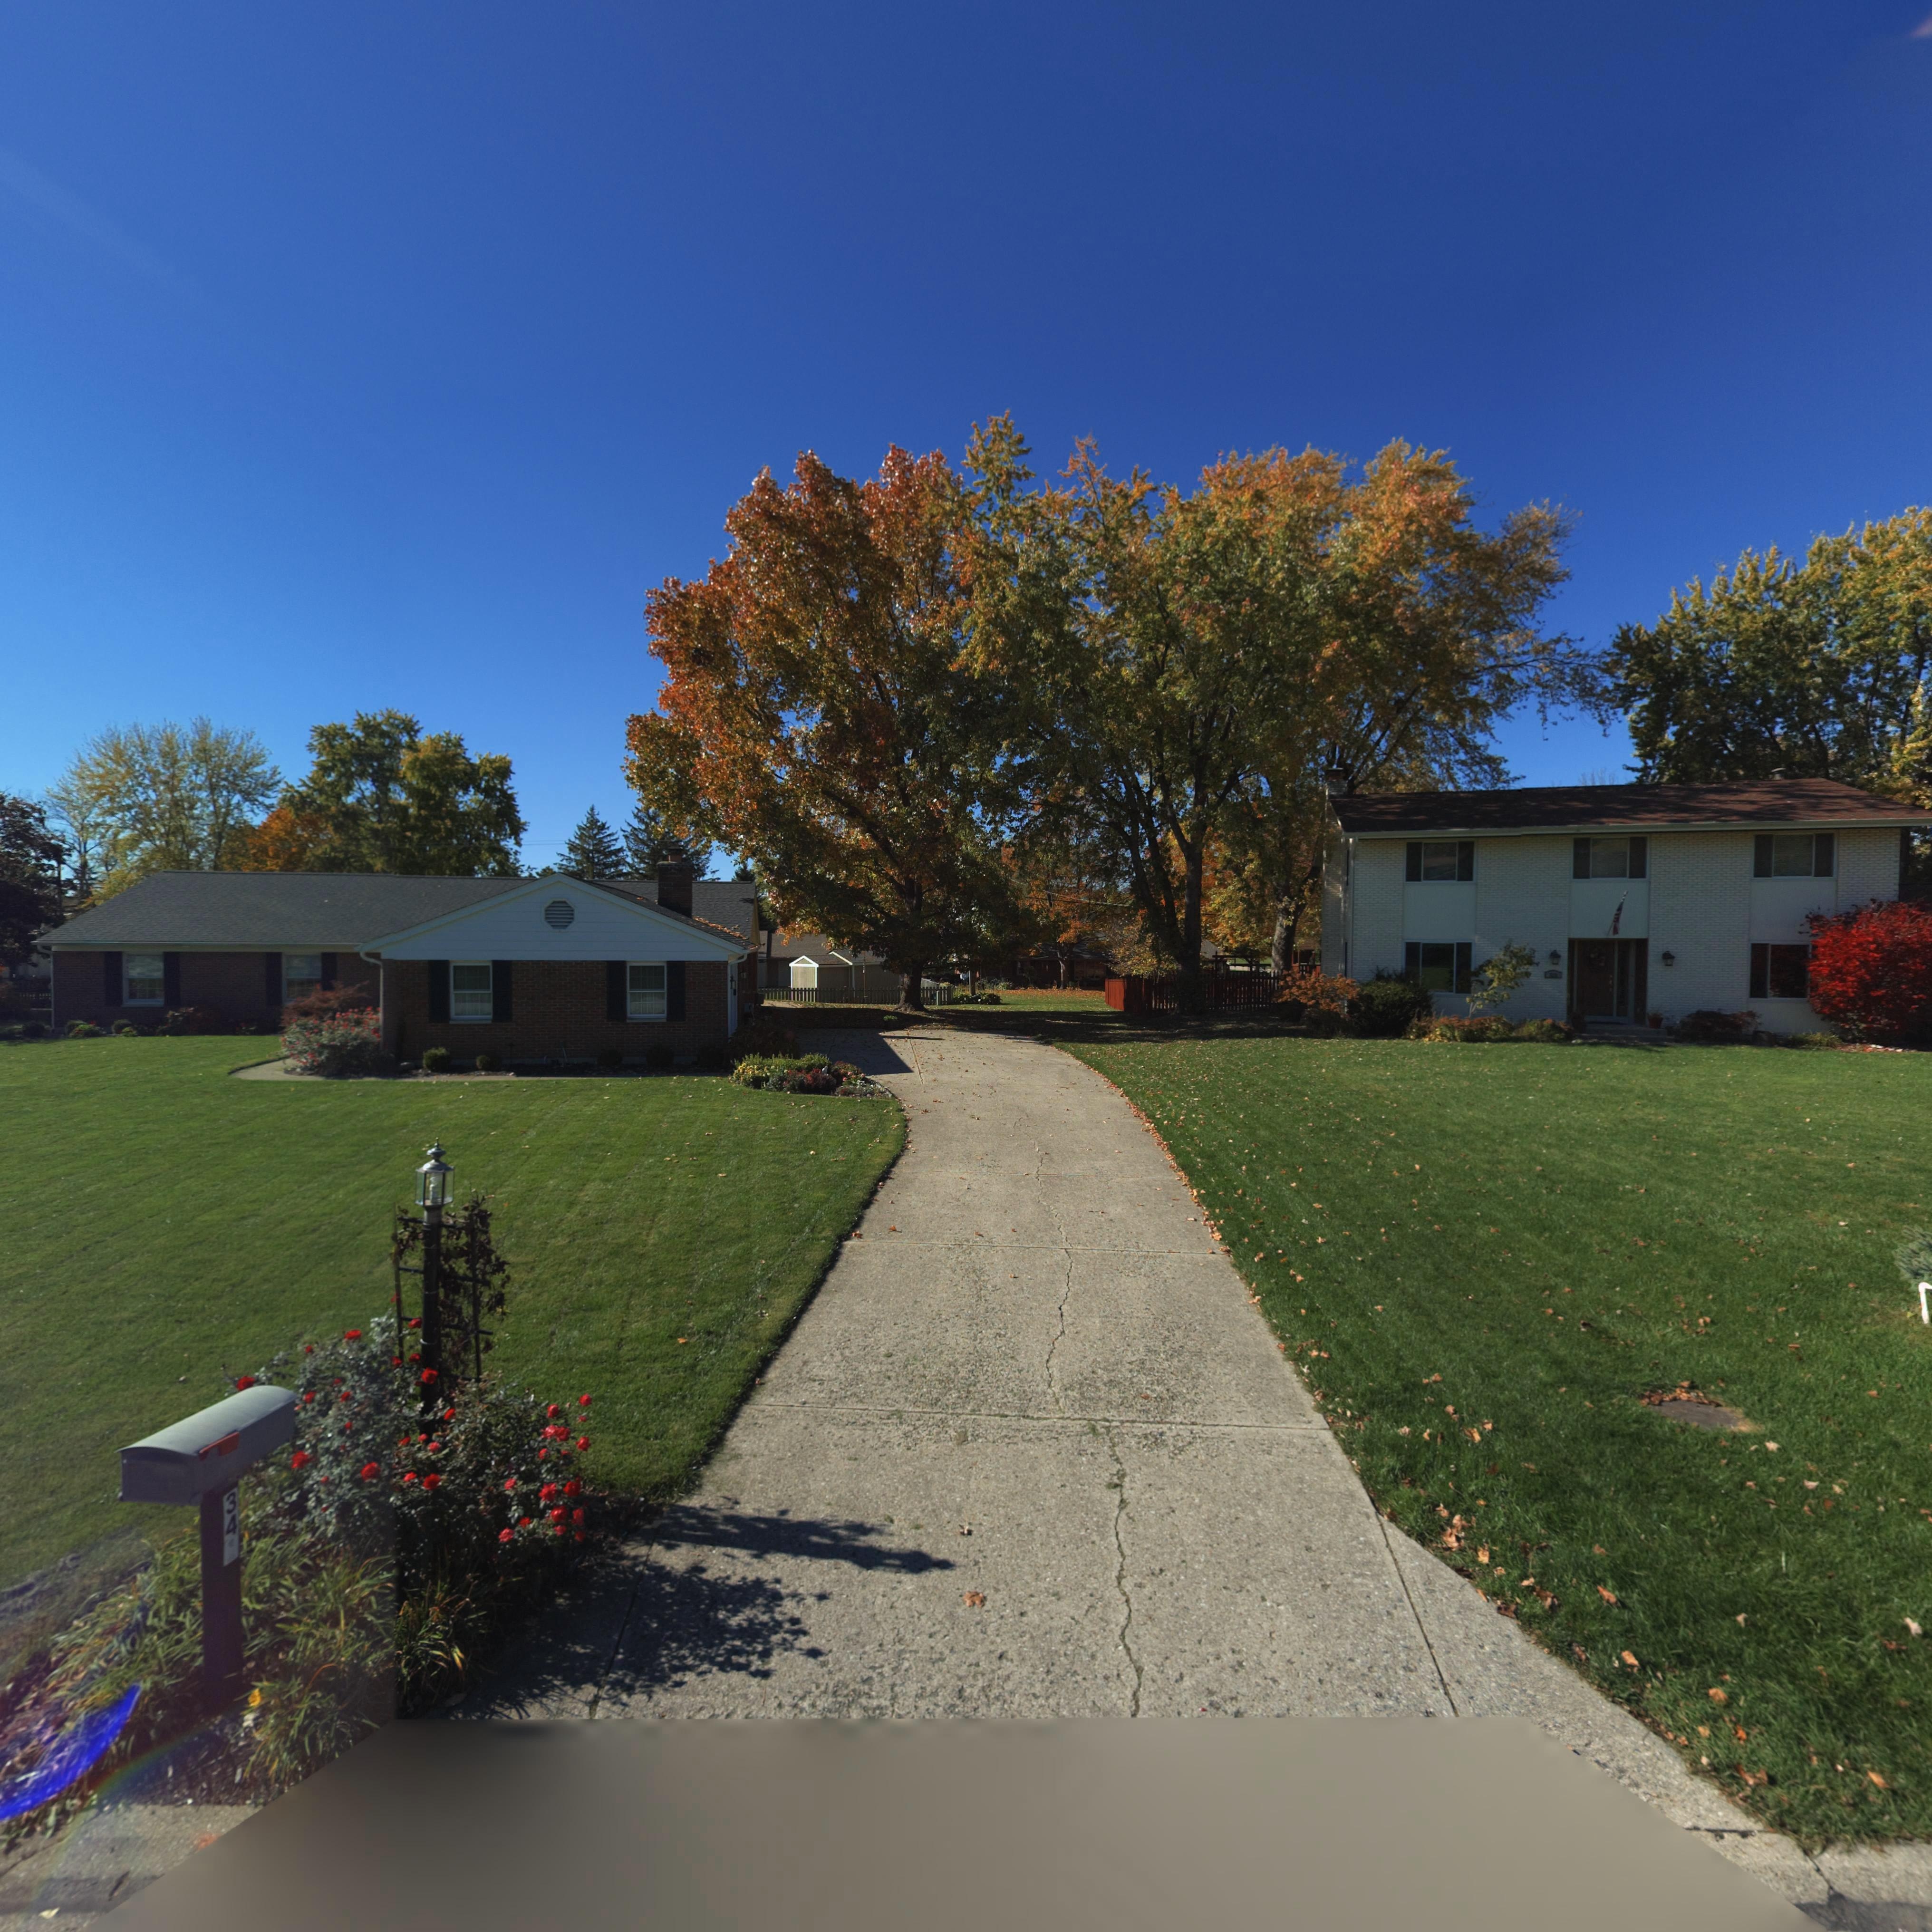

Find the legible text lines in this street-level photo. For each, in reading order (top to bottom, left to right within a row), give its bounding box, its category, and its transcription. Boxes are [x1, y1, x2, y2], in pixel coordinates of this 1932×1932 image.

[224, 1488, 240, 1566] StreetNumber: 34*